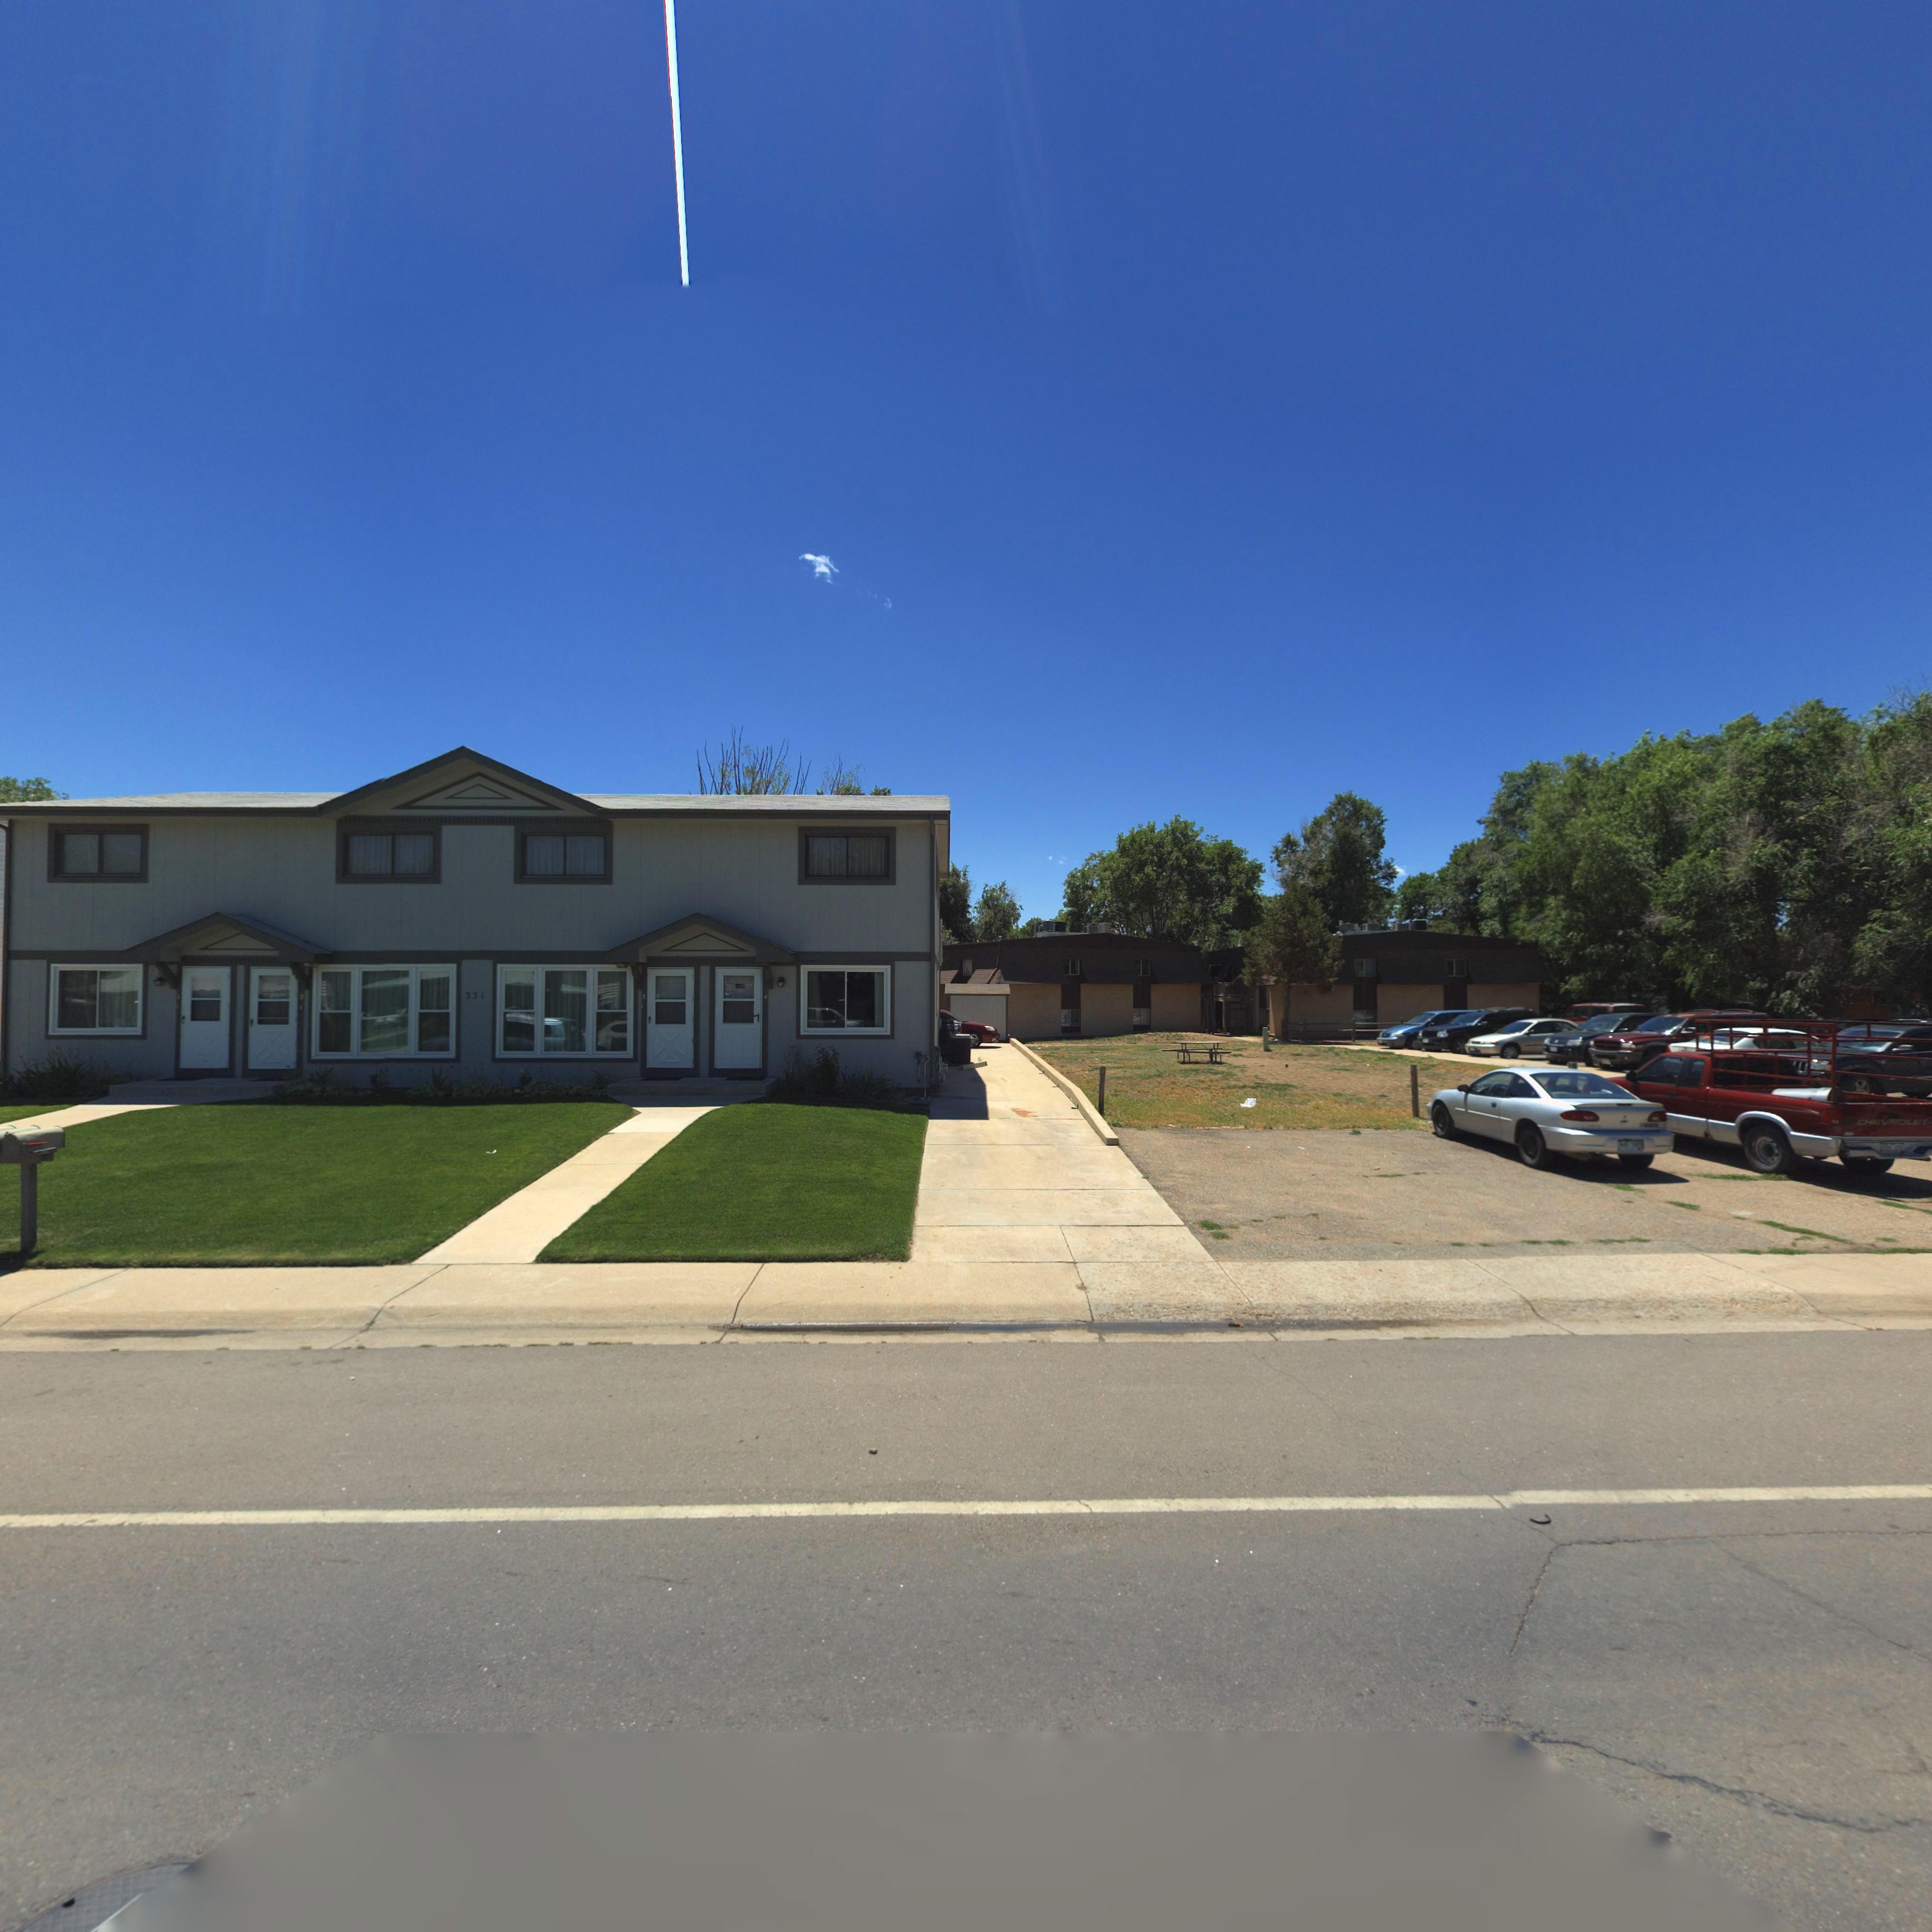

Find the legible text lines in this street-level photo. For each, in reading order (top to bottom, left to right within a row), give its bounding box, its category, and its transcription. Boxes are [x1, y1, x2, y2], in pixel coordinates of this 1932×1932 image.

[176, 993, 180, 999] StreetNumber: 1
[299, 994, 304, 1000] StreetNumber: 2
[464, 991, 484, 999] StreetNumber: 331
[641, 993, 646, 999] StreetNumber: 3
[763, 994, 767, 999] StreetNumber: 4